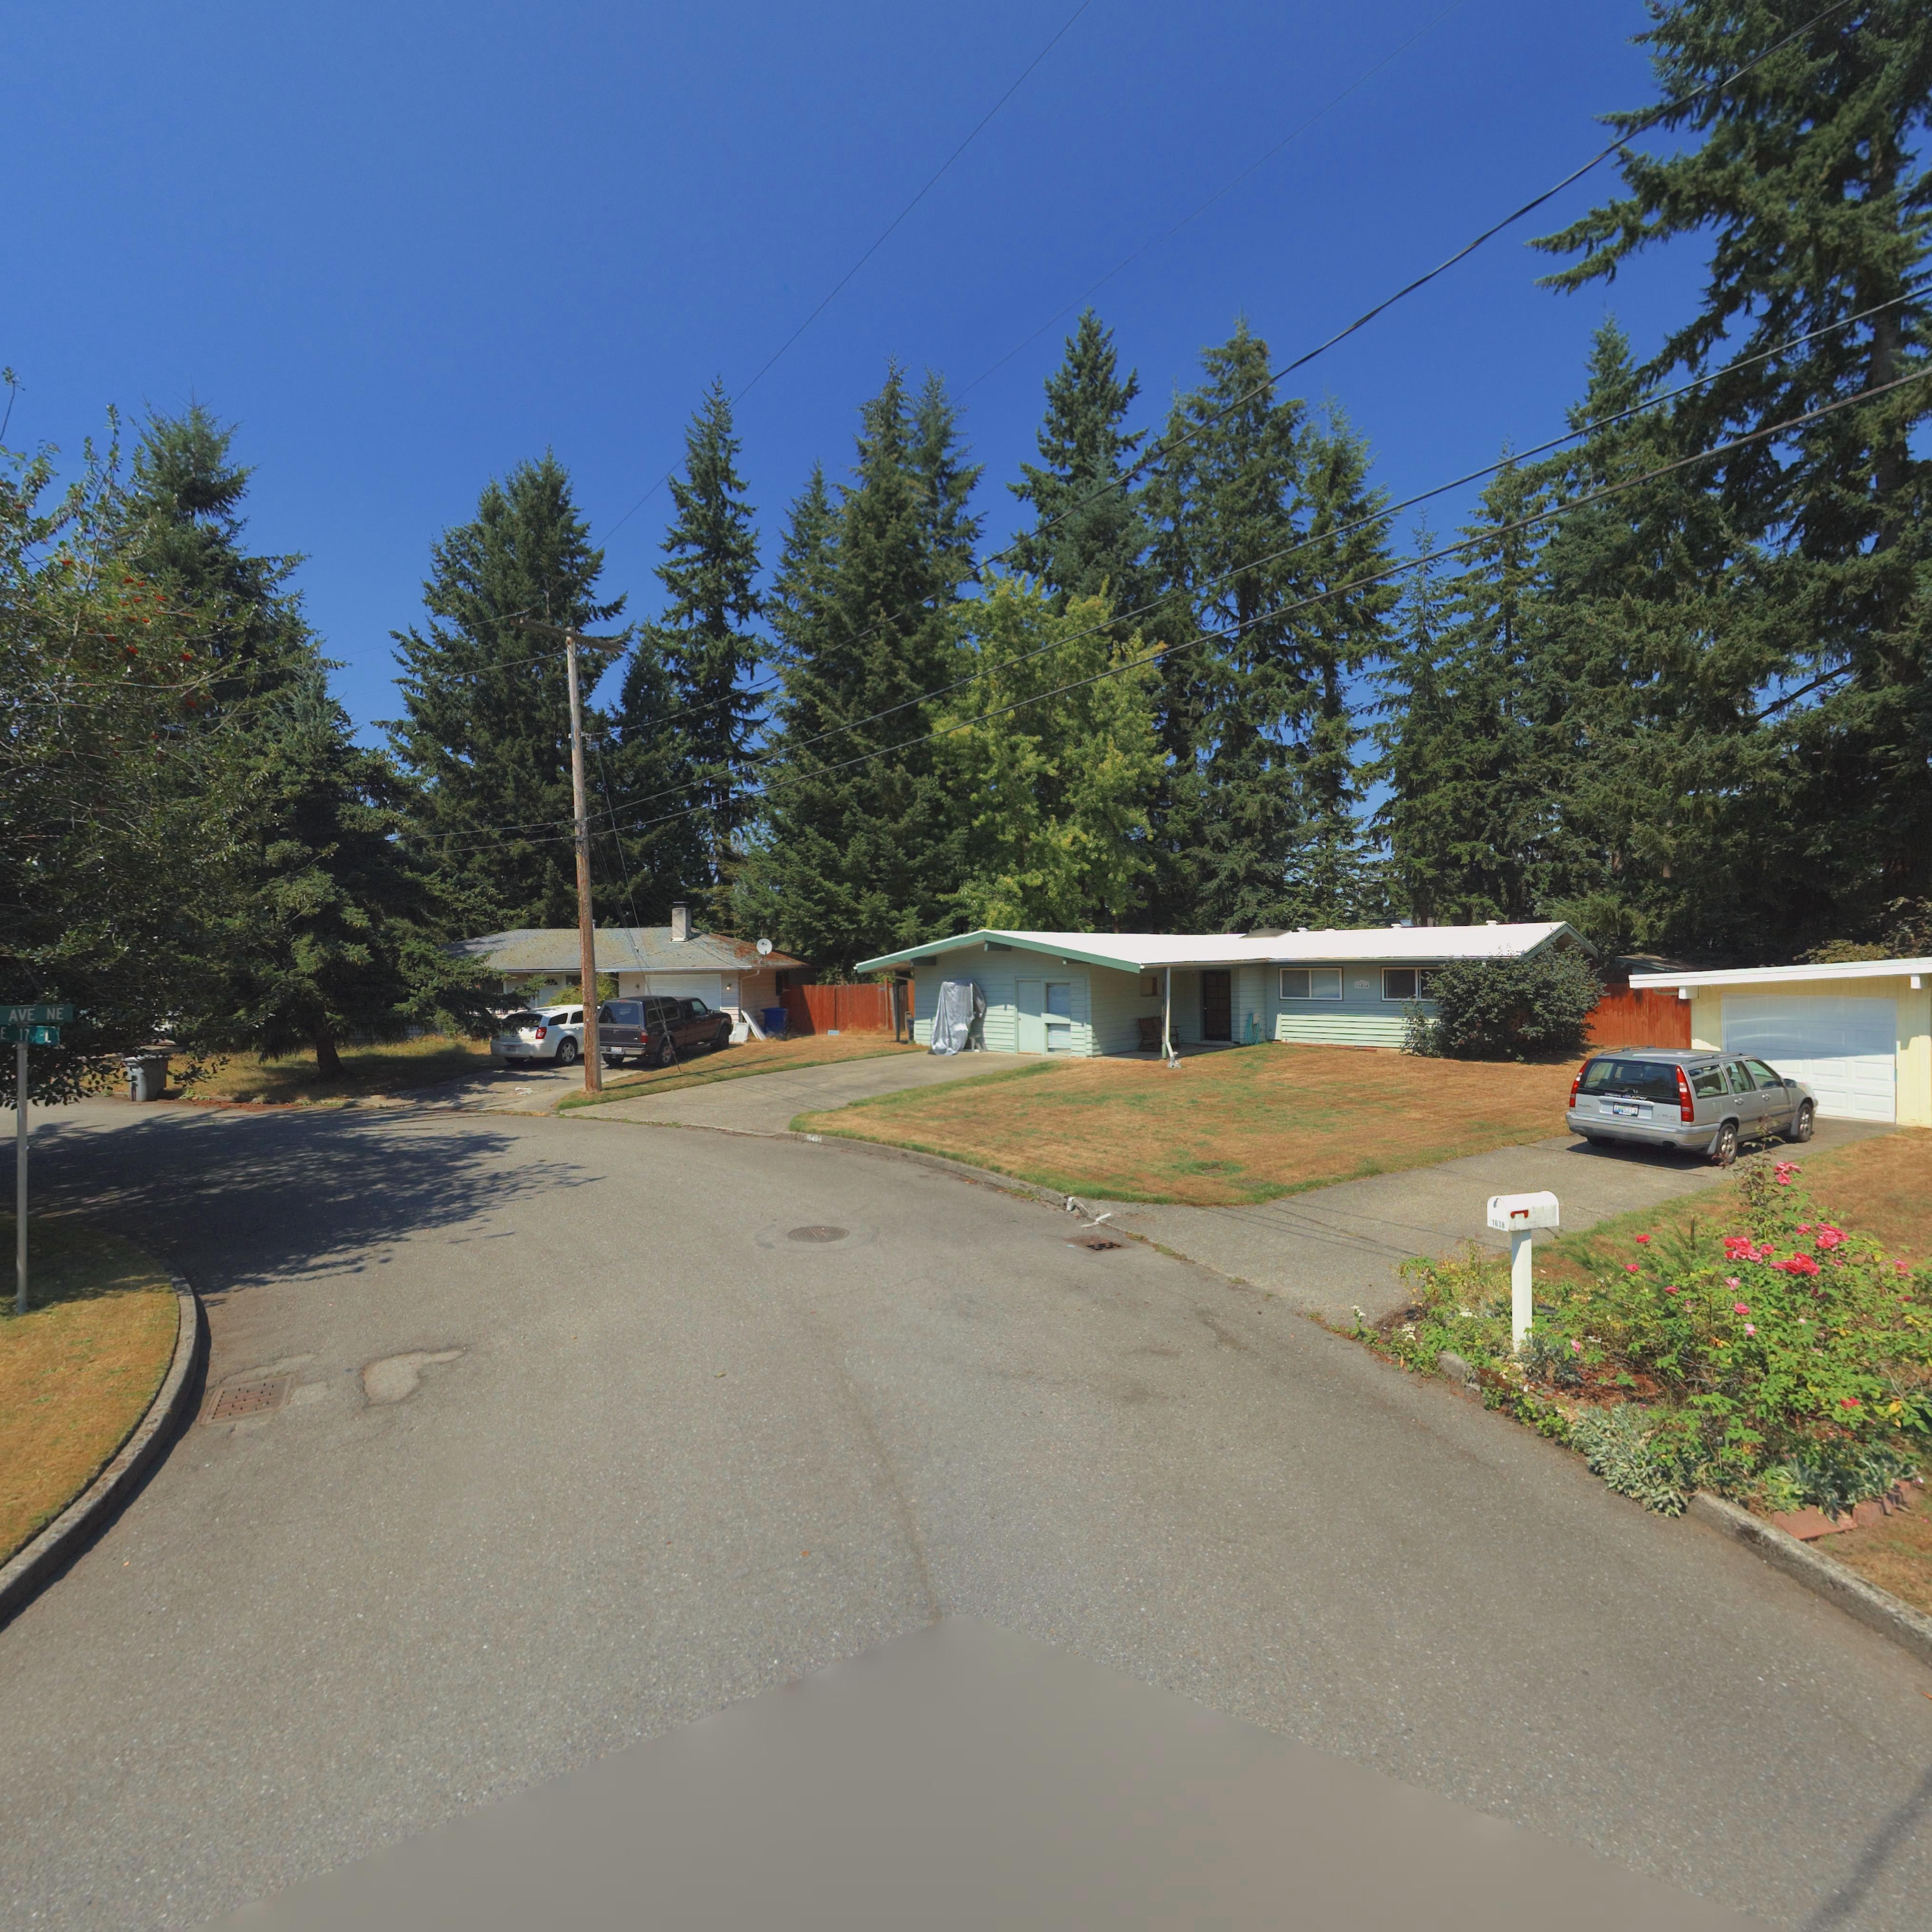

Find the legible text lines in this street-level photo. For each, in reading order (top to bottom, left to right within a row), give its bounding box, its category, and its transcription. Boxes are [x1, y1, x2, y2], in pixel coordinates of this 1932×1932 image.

[1354, 983, 1369, 989] StreetNumber: 1*
[1492, 1218, 1505, 1229] StreetNumber: 1638